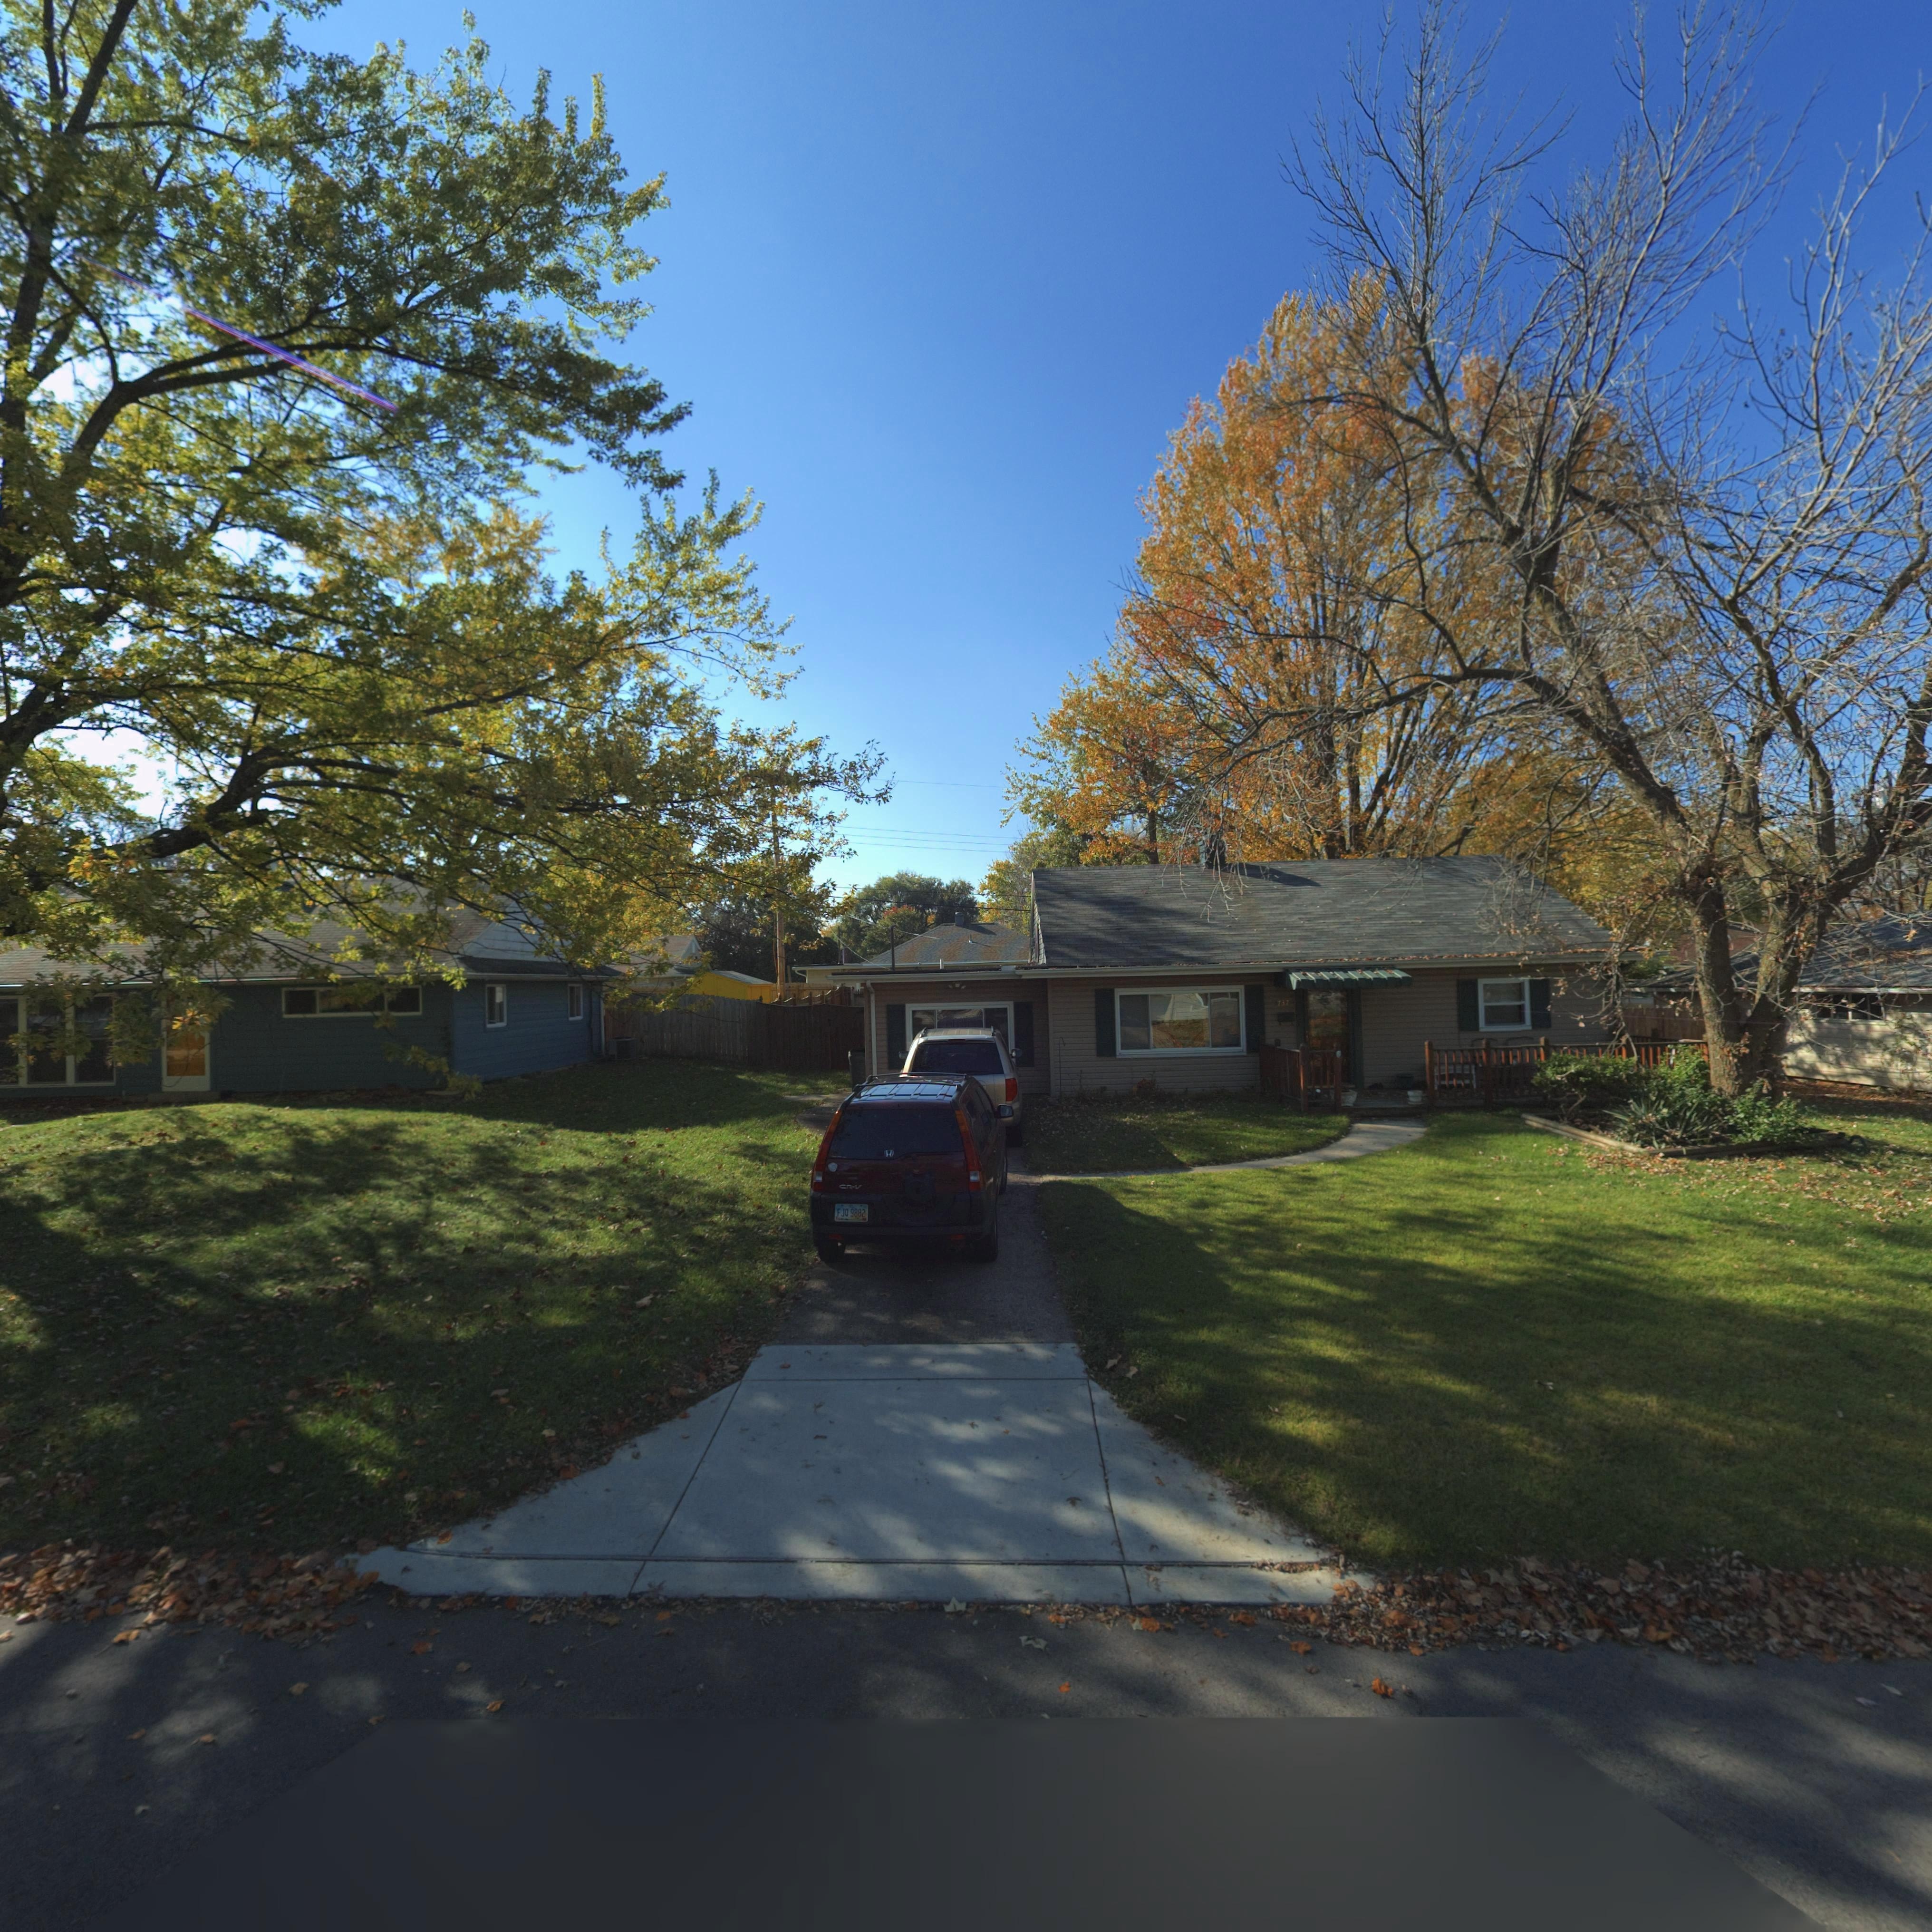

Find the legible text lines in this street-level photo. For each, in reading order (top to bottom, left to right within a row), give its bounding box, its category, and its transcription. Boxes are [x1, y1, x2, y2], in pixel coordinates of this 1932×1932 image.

[1275, 999, 1289, 1006] StreetNumber: 737
[838, 1183, 863, 1190] None: CR-V
[836, 1207, 865, 1217] None: F JO 9882